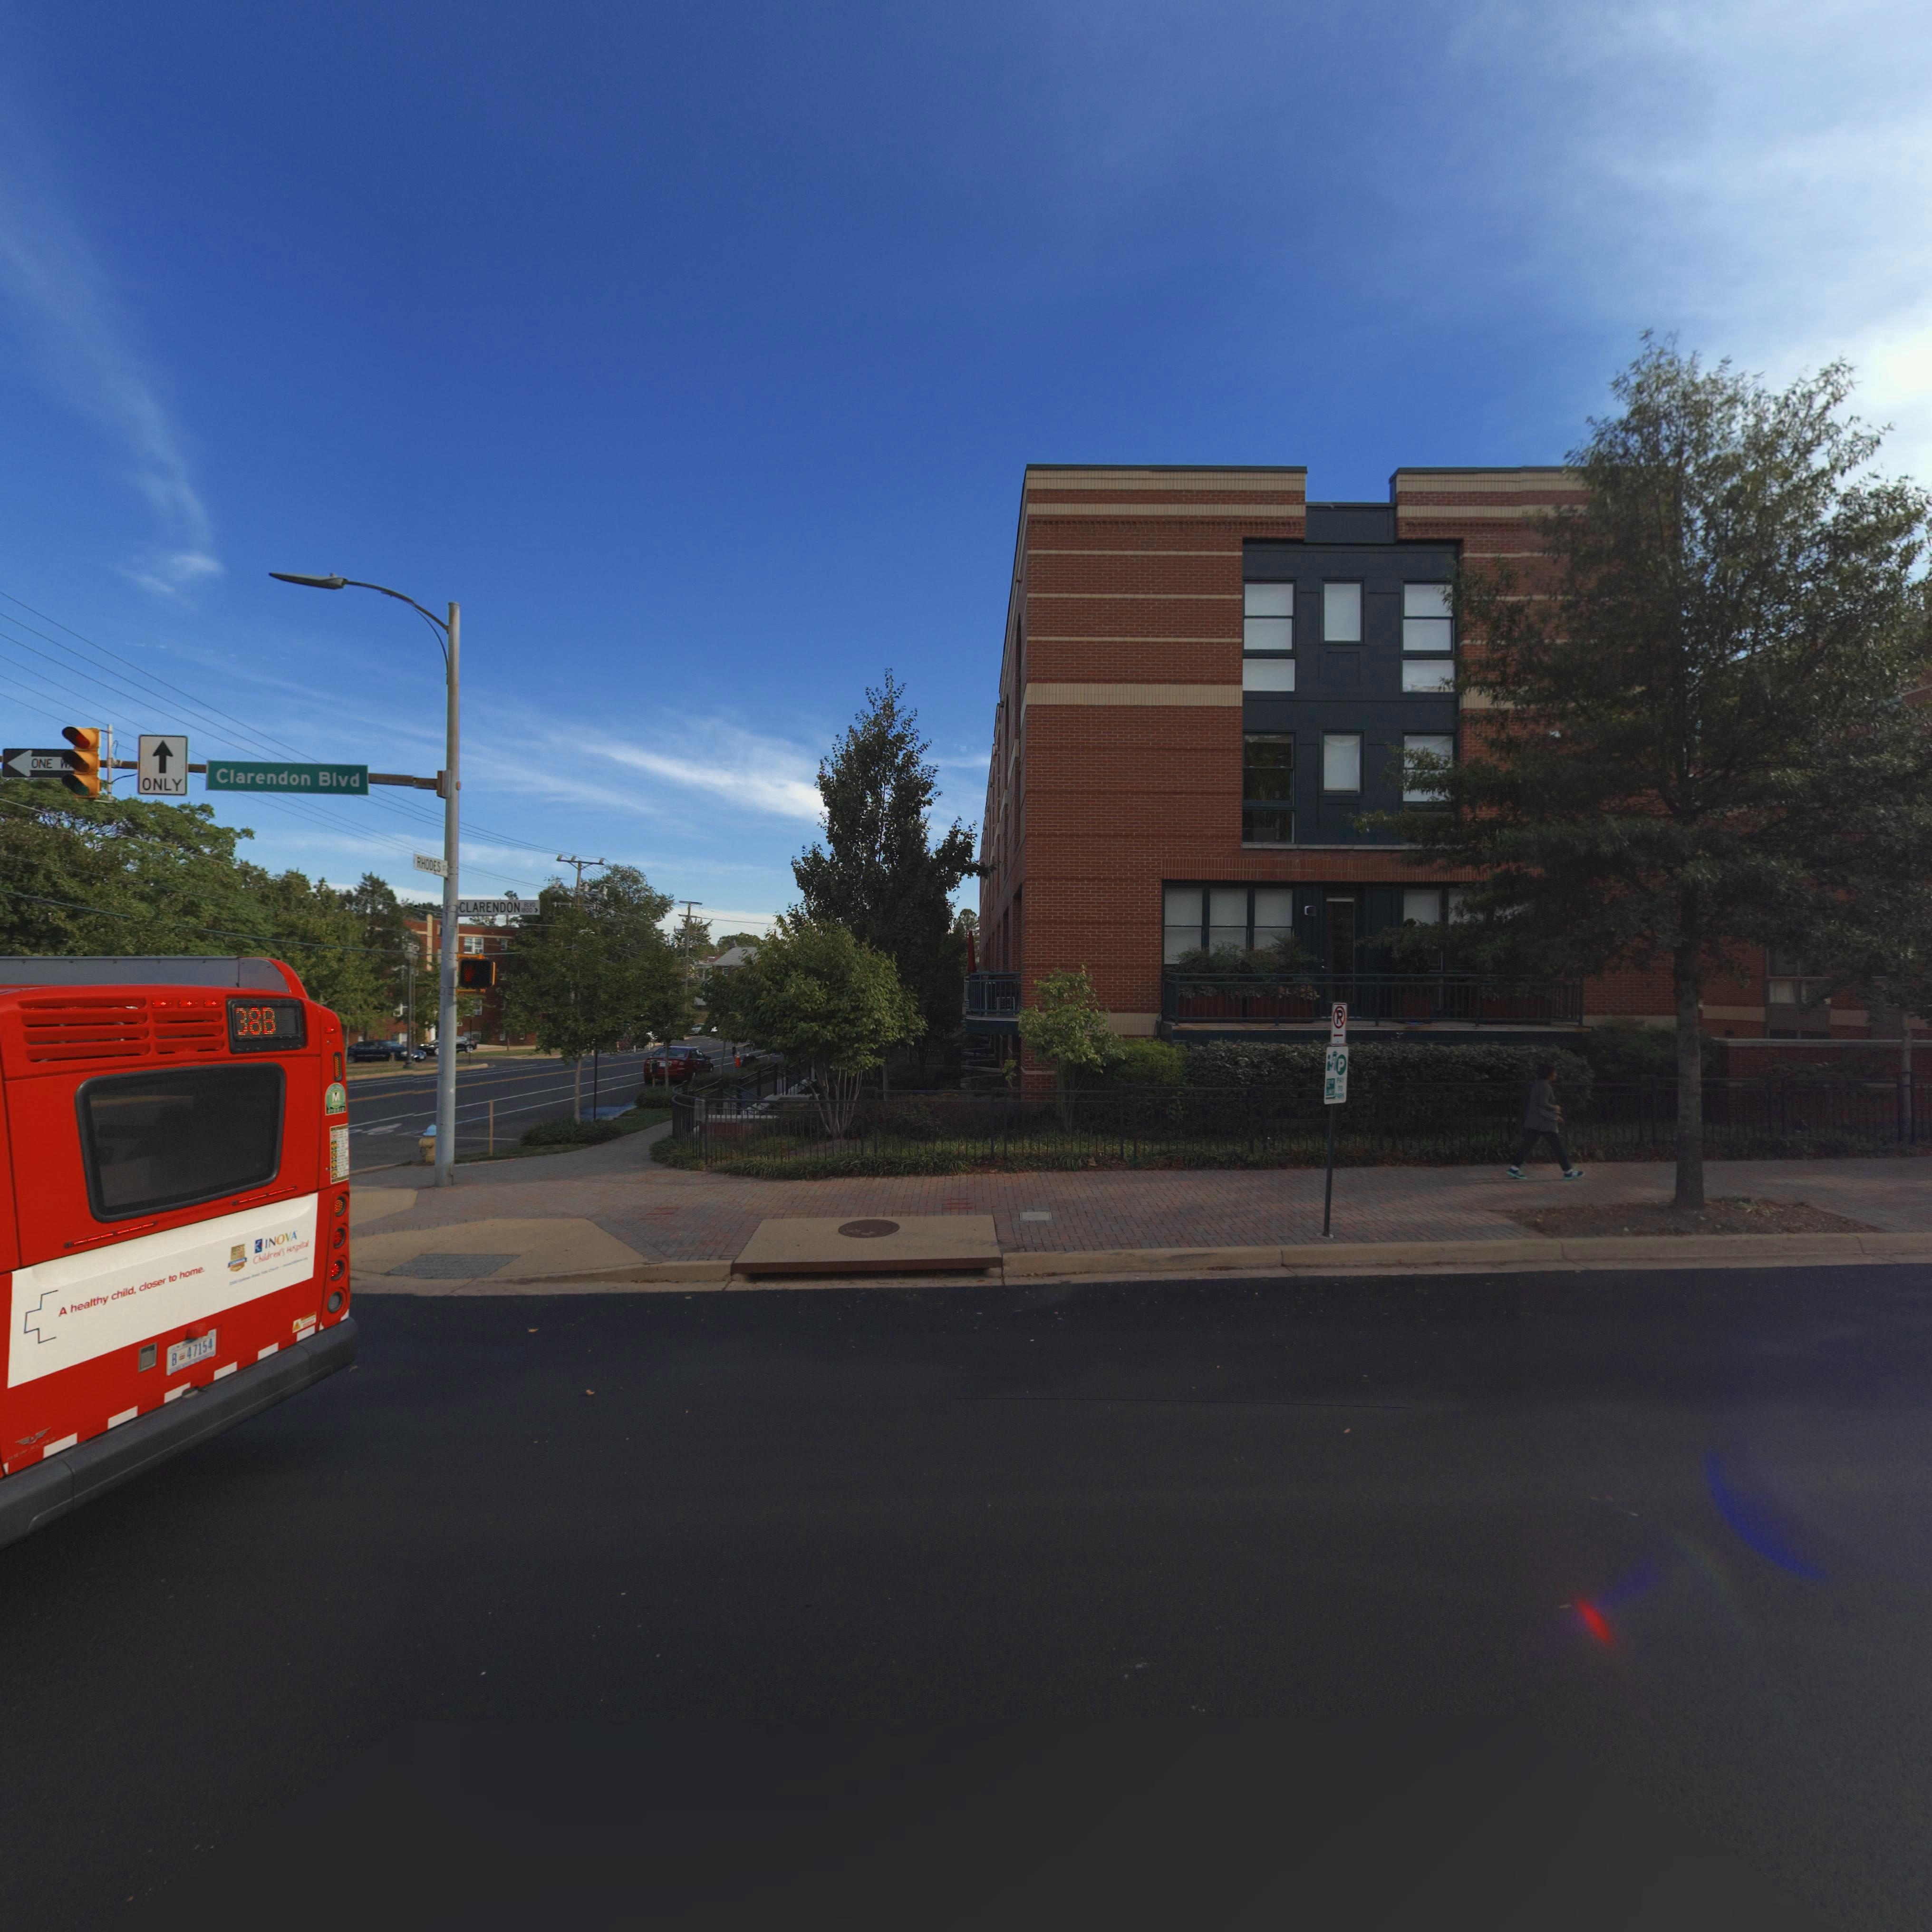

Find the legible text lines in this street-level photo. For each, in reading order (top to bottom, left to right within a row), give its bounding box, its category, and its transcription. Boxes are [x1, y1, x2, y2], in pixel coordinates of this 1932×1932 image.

[30, 757, 54, 770] None: ONE
[141, 776, 184, 792] None: ONLY
[215, 766, 361, 789] StreetName: Clarendon Blvd
[415, 854, 443, 875] StreetName: RHODES
[458, 900, 537, 914] StreetName: CLARENDON BLVD
[520, 907, 540, 914] StreetNumberRange: 1*00->
[245, 1005, 278, 1037] None: 8B
[1336, 1056, 1346, 1073] None: P
[331, 1090, 342, 1103] None: M
[263, 1228, 299, 1252] None: INOVA
[56, 1264, 206, 1319] None: A healthy child, closer to home.
[171, 1336, 214, 1368] None: B * 47154